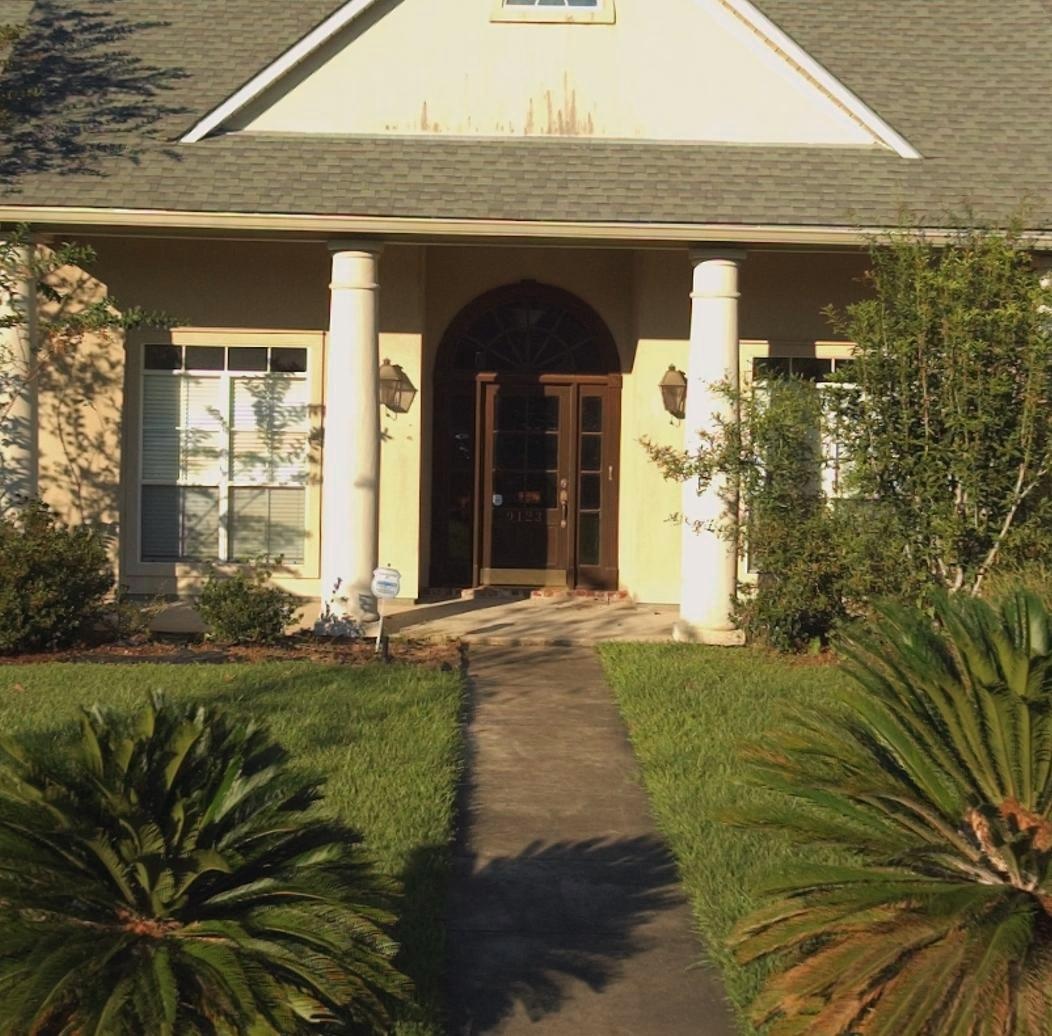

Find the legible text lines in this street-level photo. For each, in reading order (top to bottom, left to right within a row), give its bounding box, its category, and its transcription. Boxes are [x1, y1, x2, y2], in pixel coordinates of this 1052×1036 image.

[505, 510, 543, 522] StreetNumber: 9123